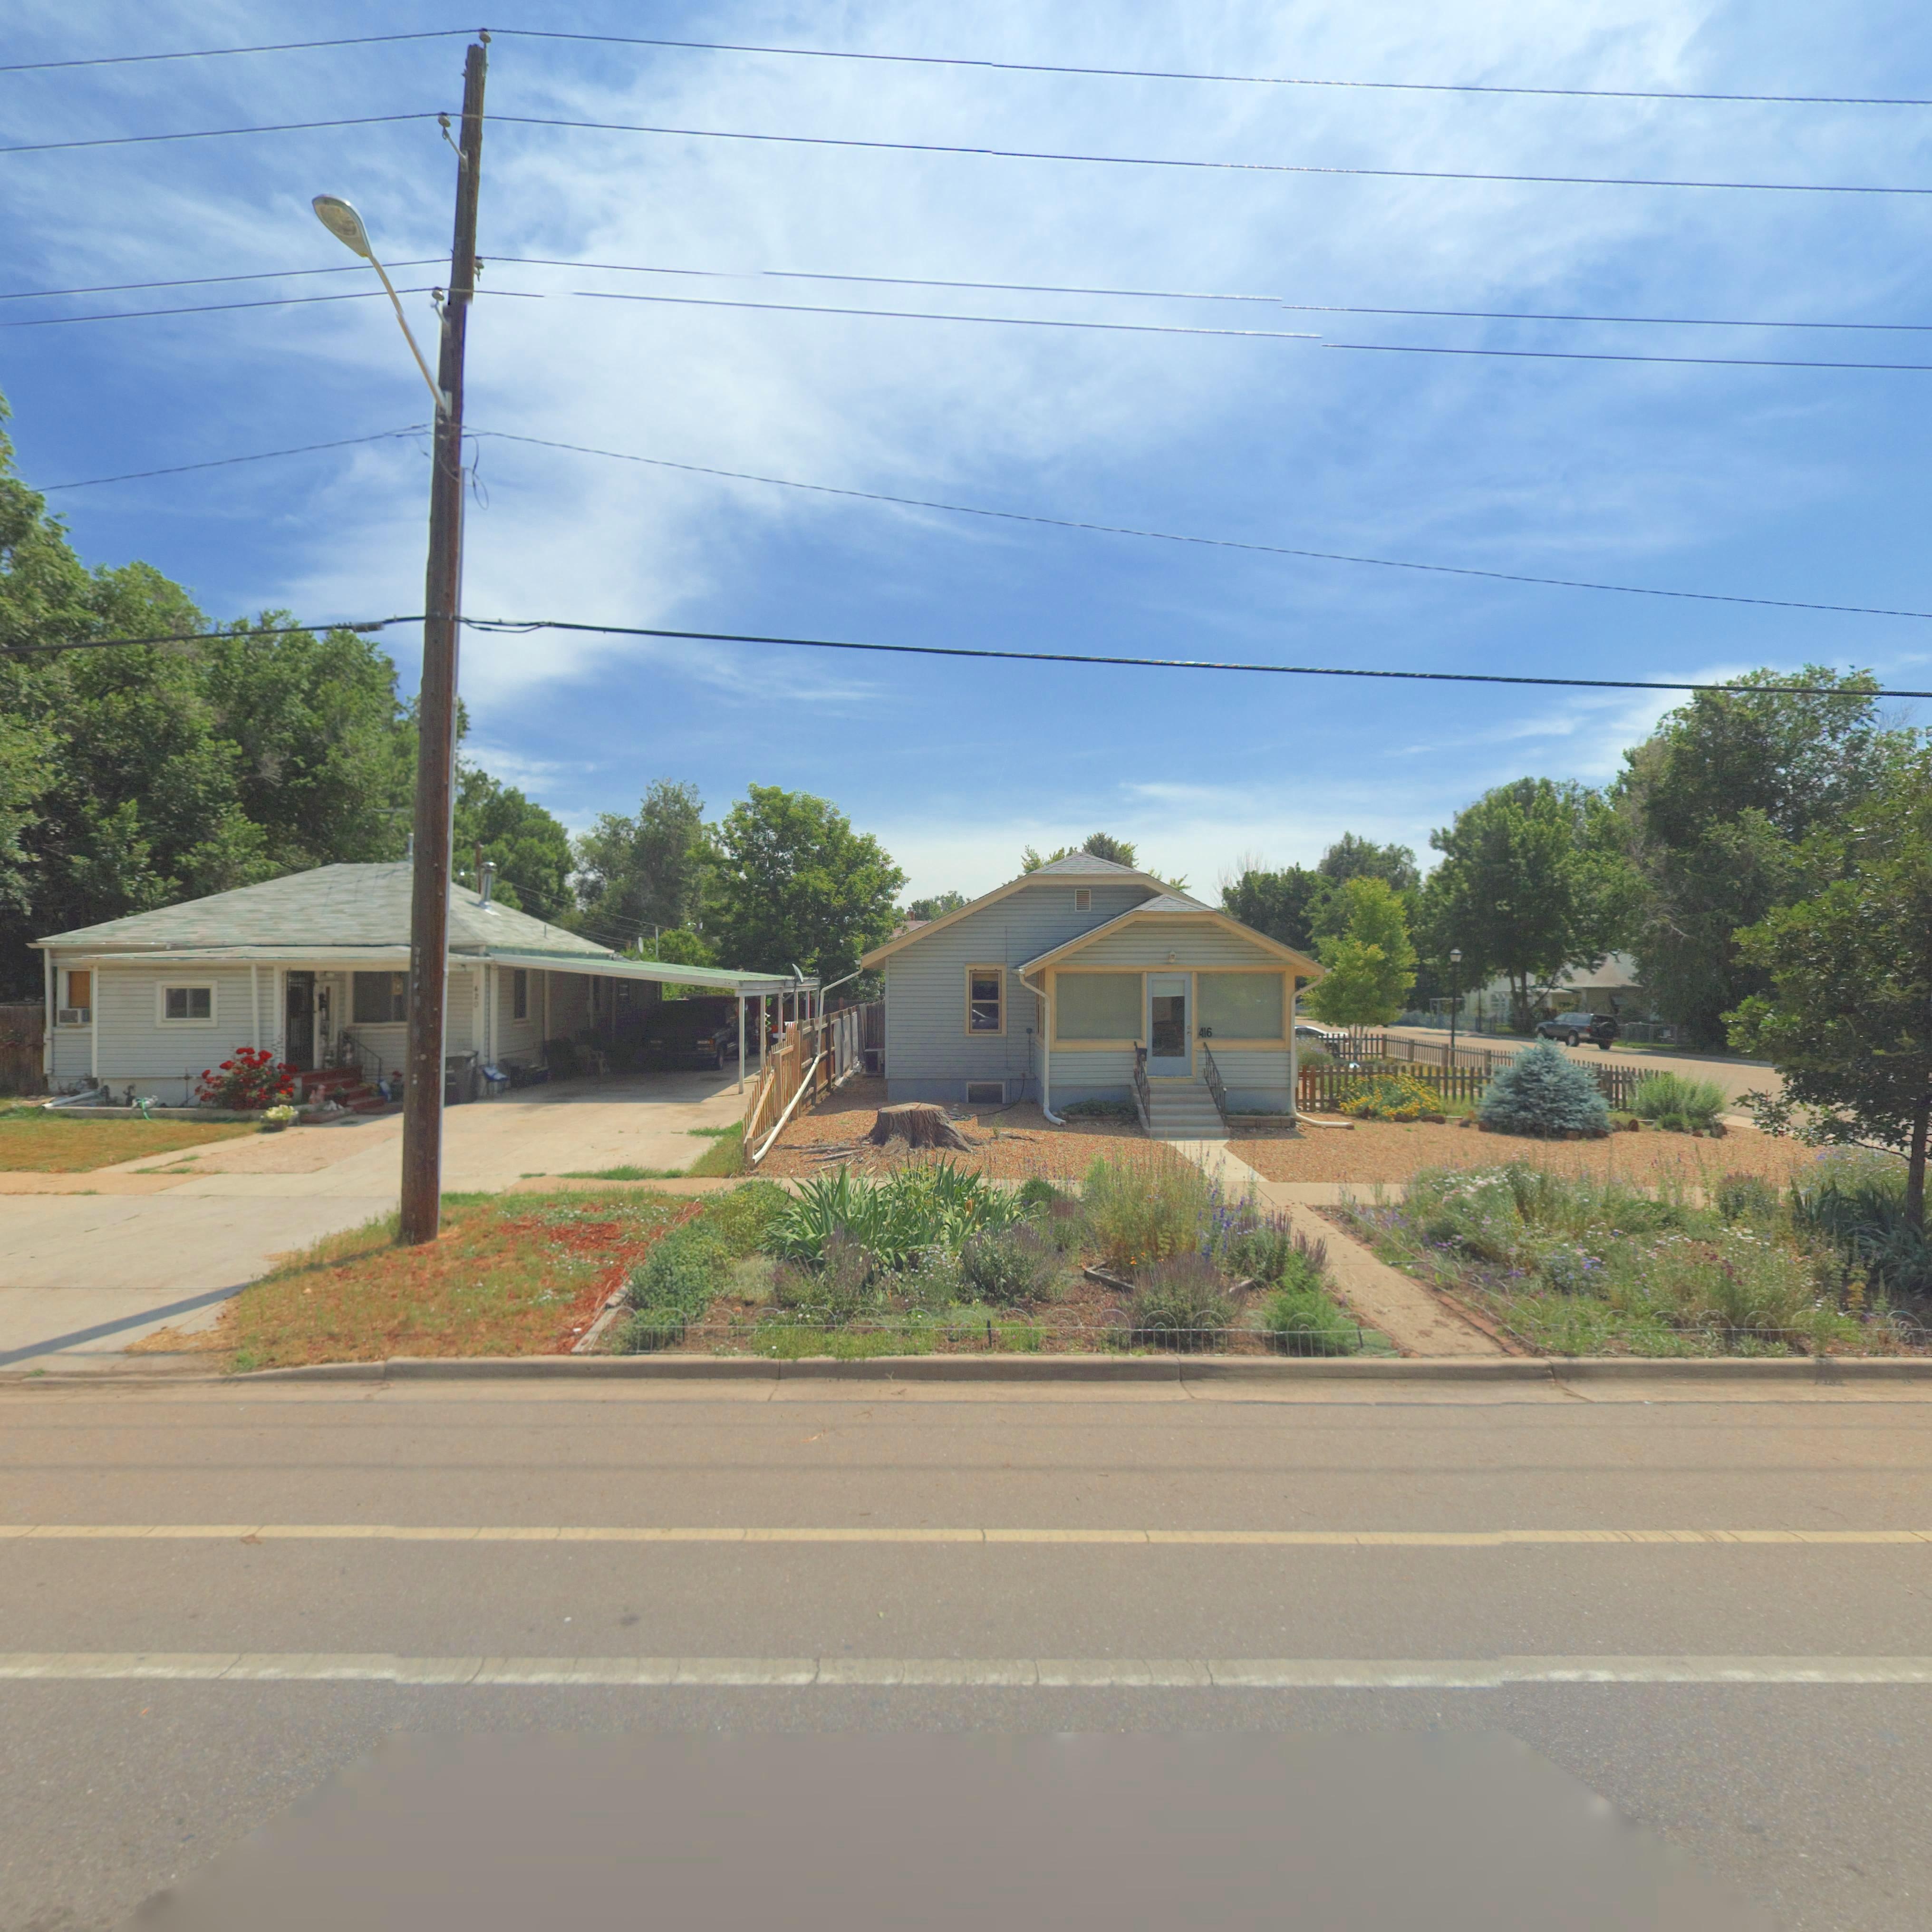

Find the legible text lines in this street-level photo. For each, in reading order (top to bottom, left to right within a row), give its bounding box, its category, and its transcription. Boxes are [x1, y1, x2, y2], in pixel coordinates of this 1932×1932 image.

[414, 946, 420, 976] StreetNumber: 31*
[473, 985, 479, 1008] StreetNumber: 420
[1198, 1027, 1212, 1037] StreetNumber: 416